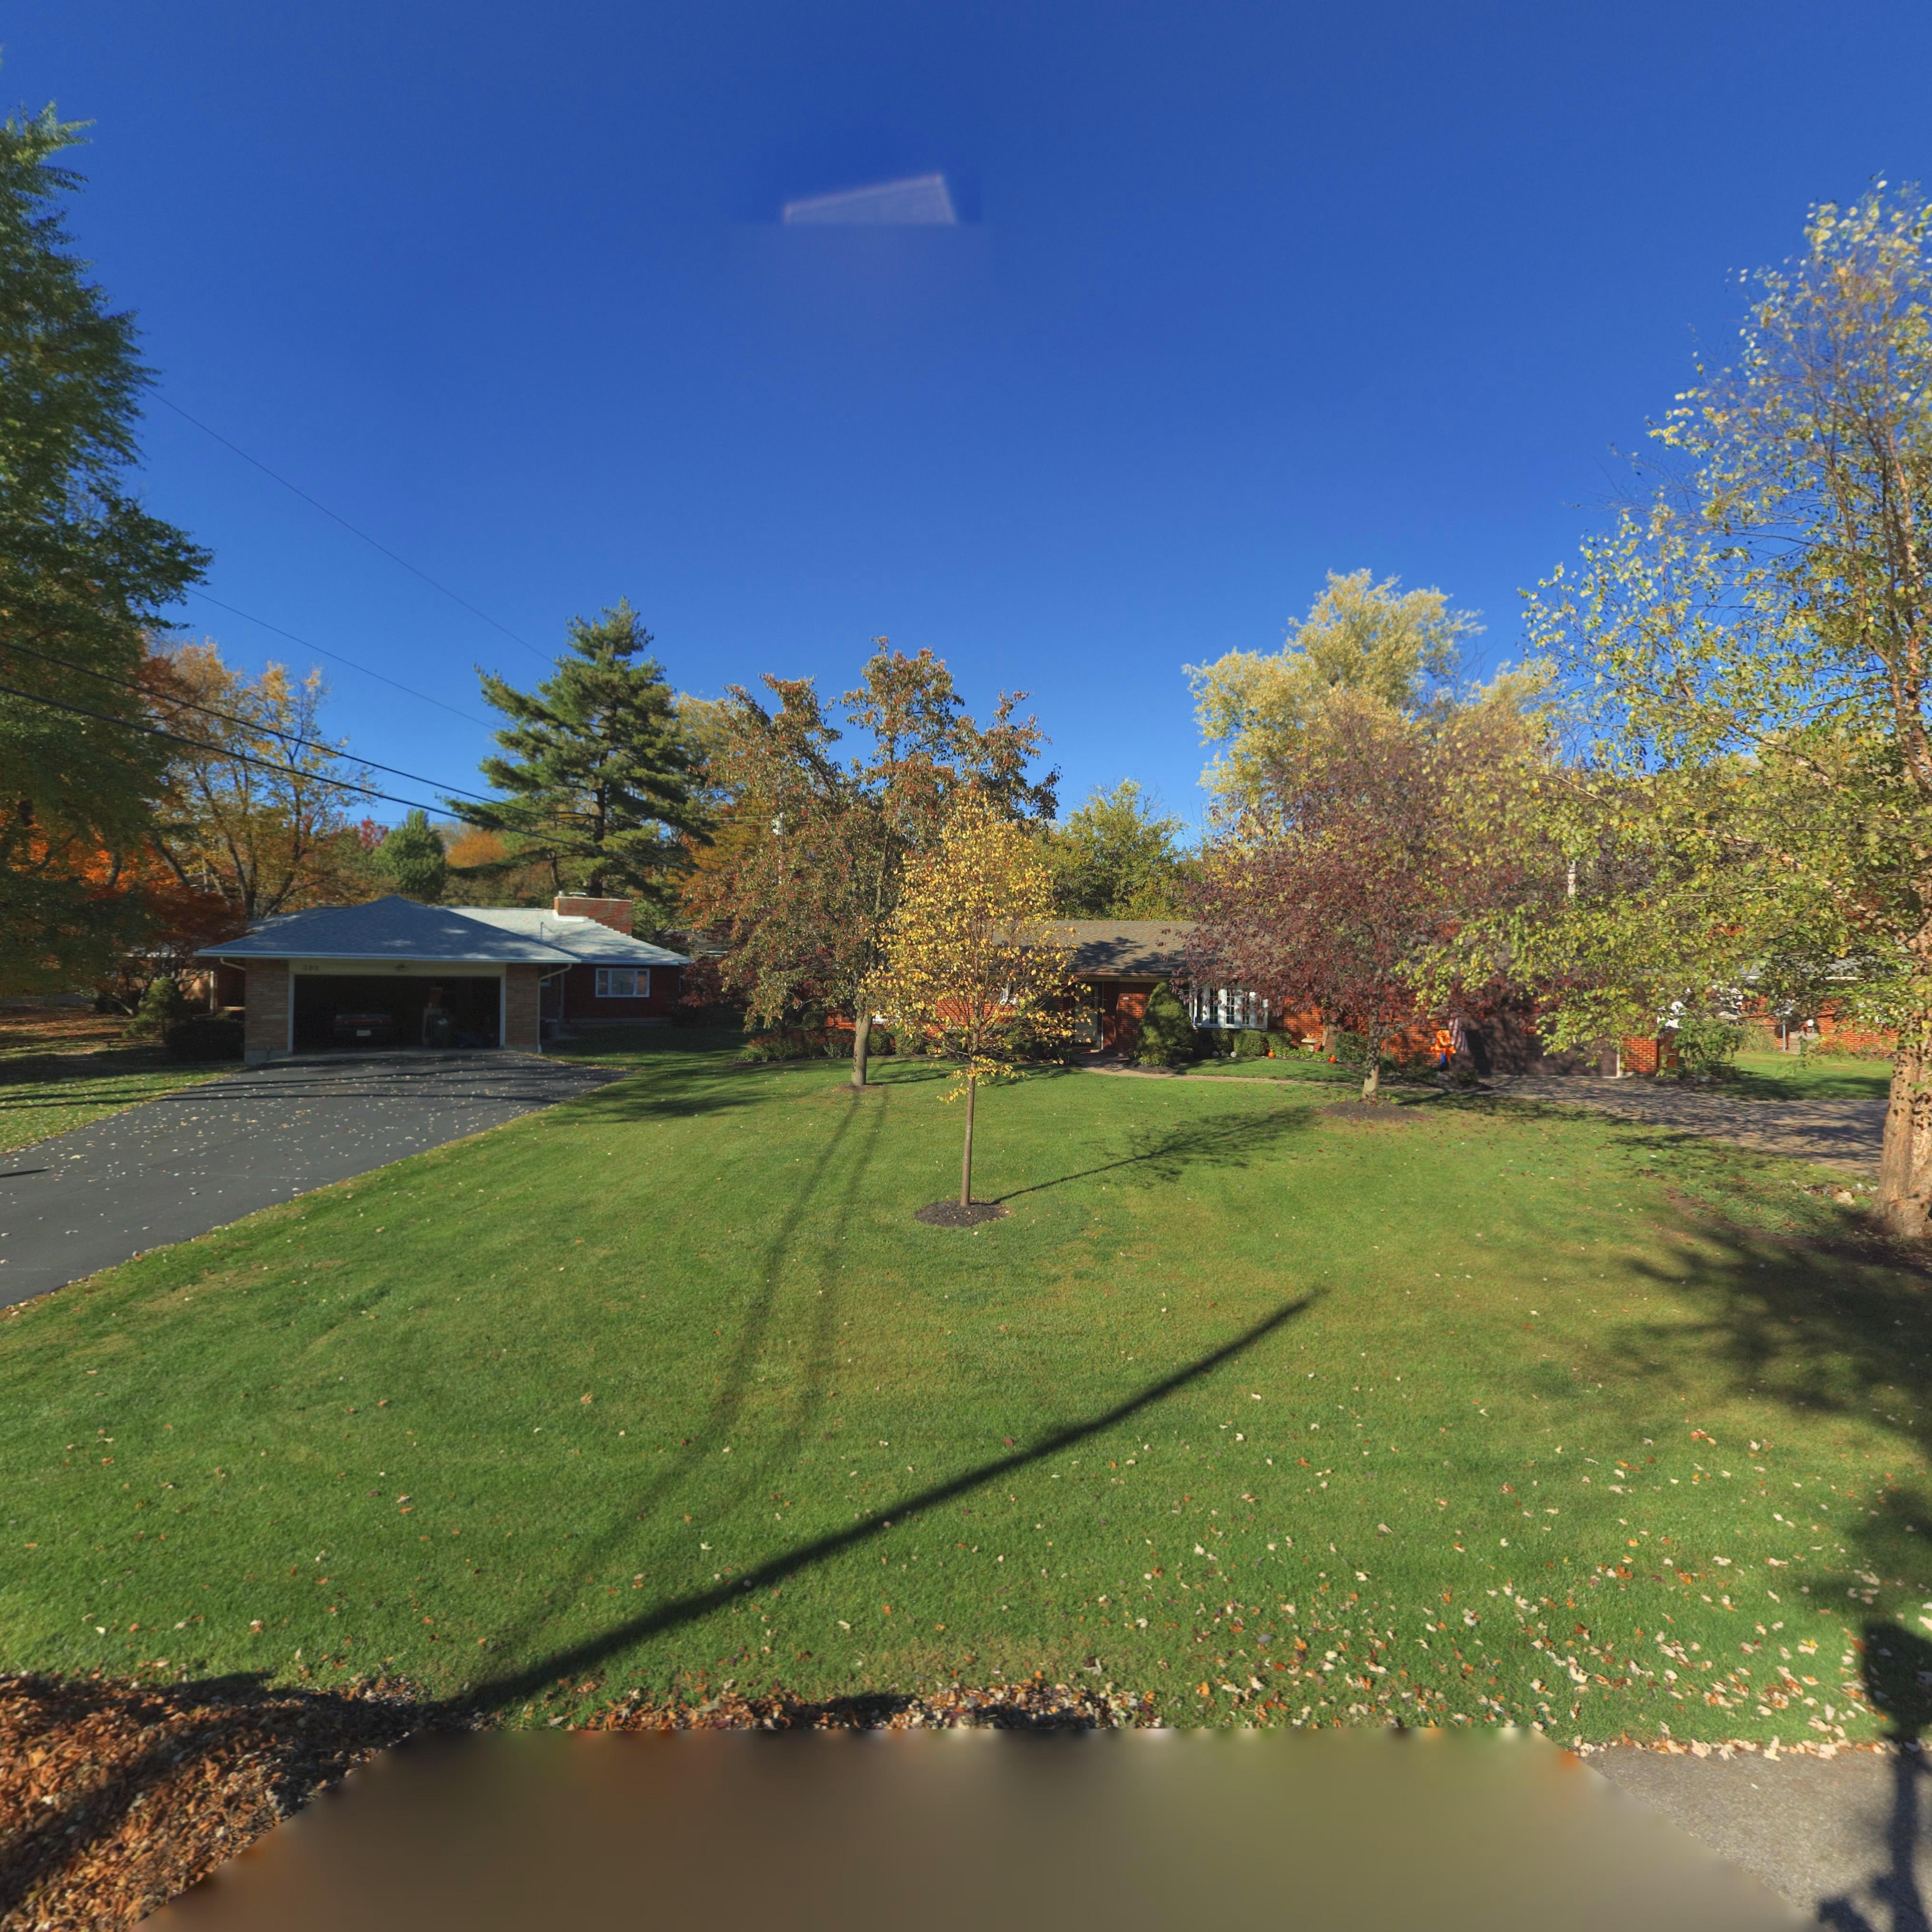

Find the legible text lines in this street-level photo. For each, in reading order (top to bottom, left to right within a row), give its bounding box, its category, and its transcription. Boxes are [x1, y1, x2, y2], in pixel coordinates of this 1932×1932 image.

[301, 964, 319, 971] StreetNumber: 395